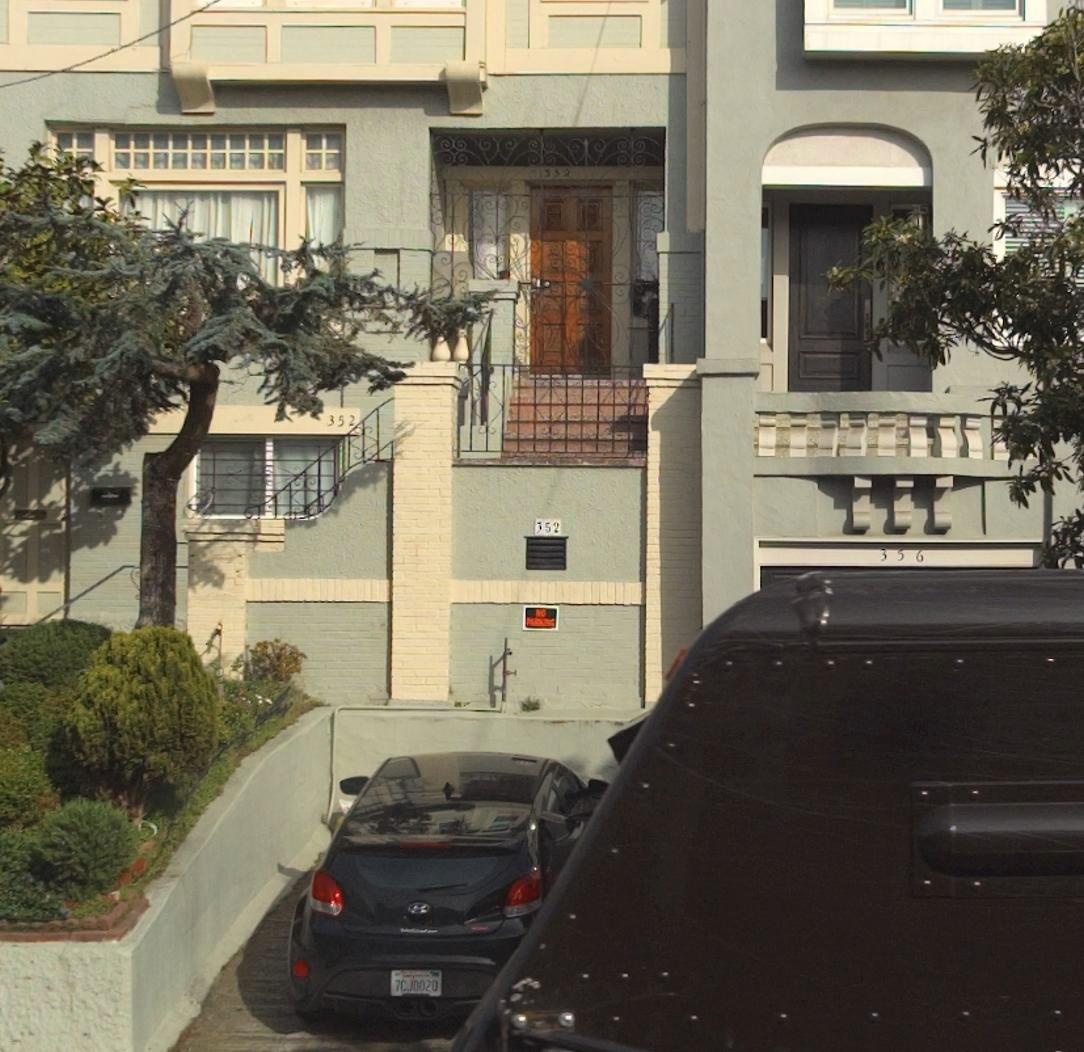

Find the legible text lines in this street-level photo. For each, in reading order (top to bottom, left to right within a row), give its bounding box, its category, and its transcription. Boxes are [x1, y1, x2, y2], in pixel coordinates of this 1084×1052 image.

[543, 167, 572, 178] StreetNumber: 352
[325, 414, 356, 428] StreetNumber: 352
[536, 520, 561, 534] StreetNumber: 352
[878, 547, 926, 564] StreetNumber: 356
[535, 608, 547, 619] None: NO
[393, 977, 440, 994] None: 7CJD020